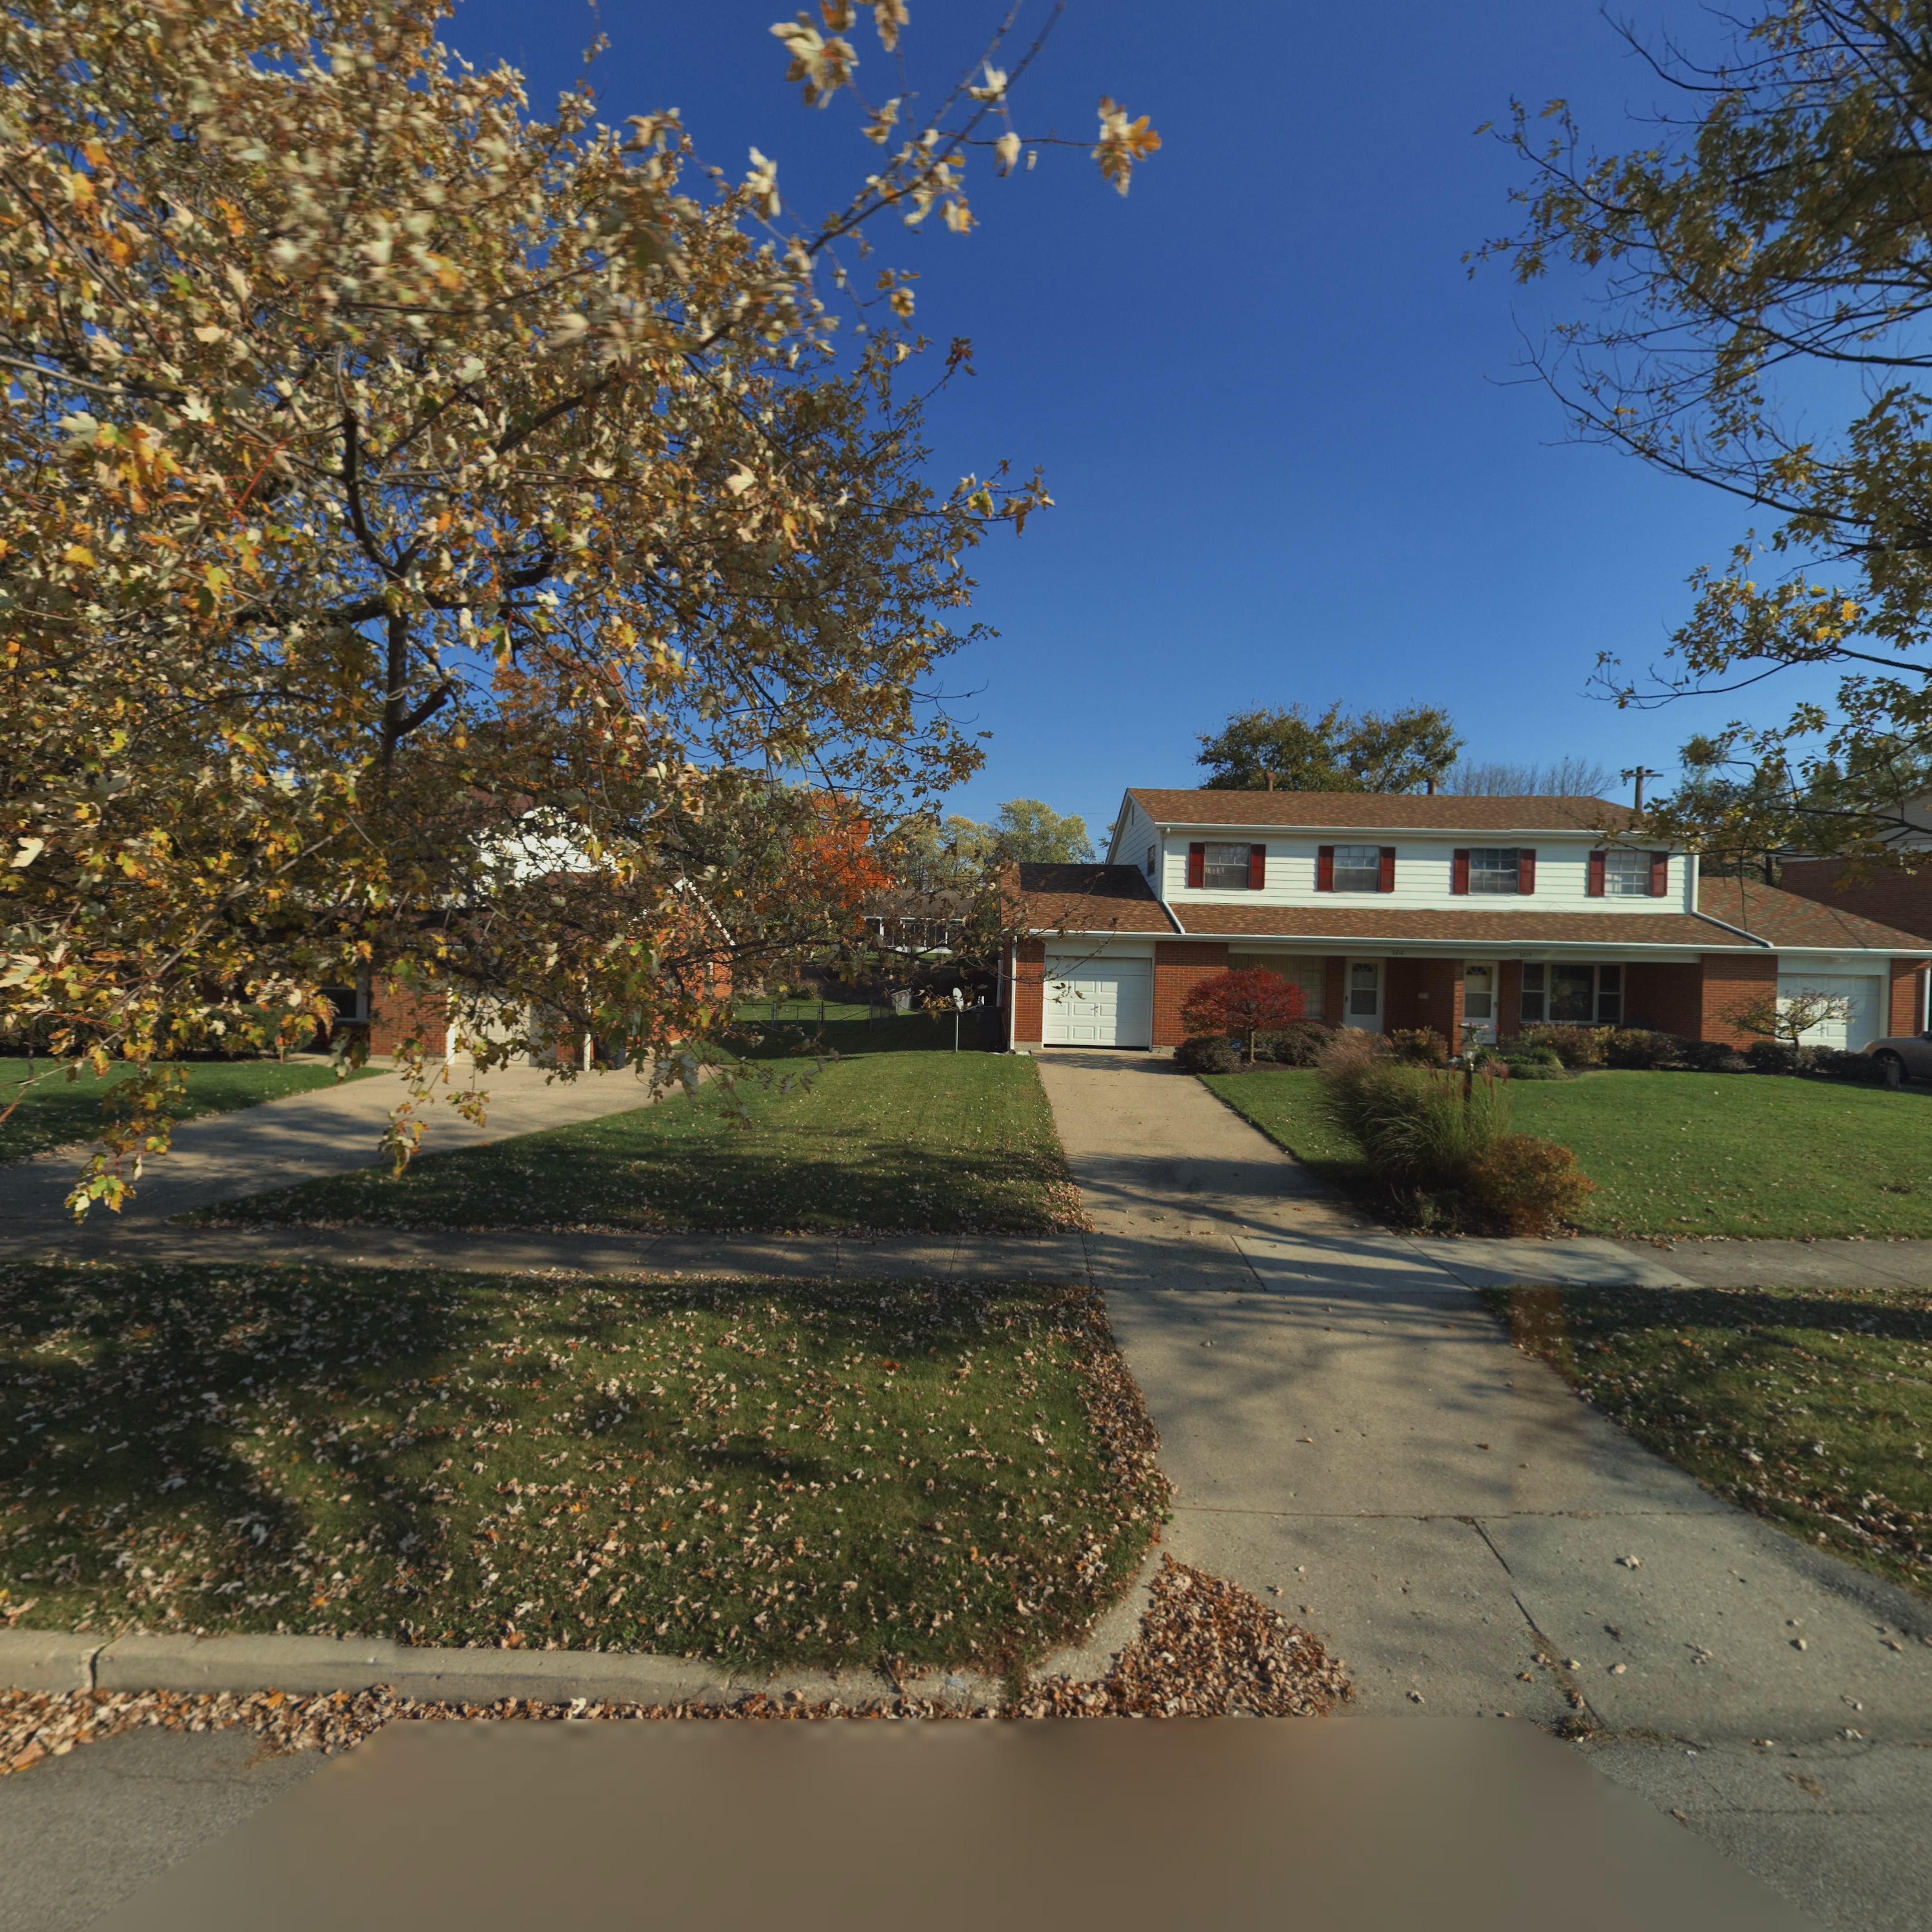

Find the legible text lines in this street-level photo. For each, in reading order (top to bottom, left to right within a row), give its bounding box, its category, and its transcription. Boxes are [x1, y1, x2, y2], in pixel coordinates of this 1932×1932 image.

[1391, 949, 1405, 956] StreetNumber: 3212
[1517, 951, 1532, 957] StreetNumber: 3214